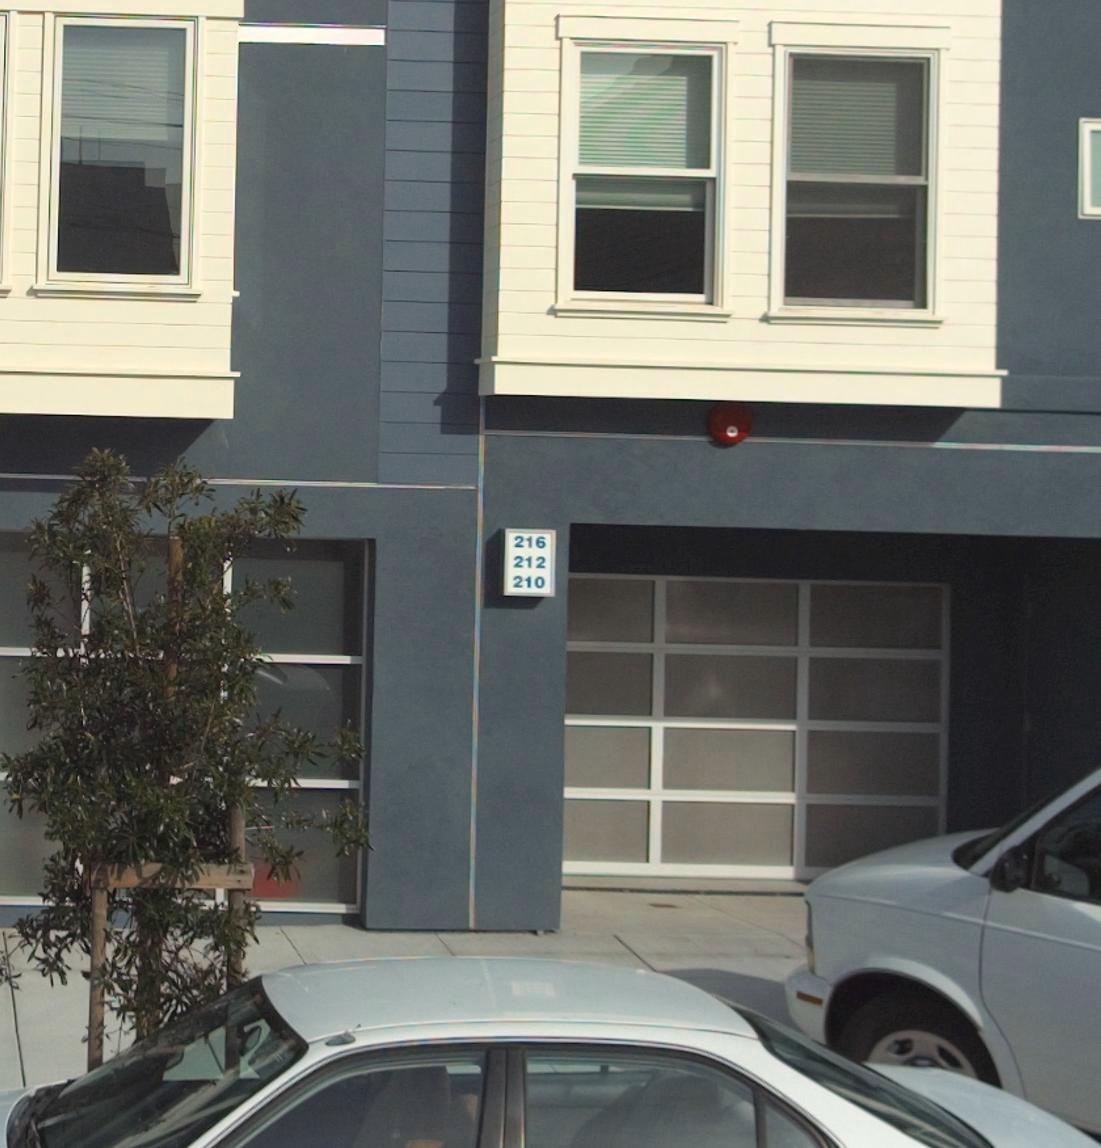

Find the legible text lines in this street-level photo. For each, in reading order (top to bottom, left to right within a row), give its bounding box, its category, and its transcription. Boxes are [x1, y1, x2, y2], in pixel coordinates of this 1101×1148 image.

[512, 534, 548, 550] StreetNumber: 216
[511, 554, 547, 570] StreetNumber: 212
[511, 574, 547, 590] StreetNumber: 210